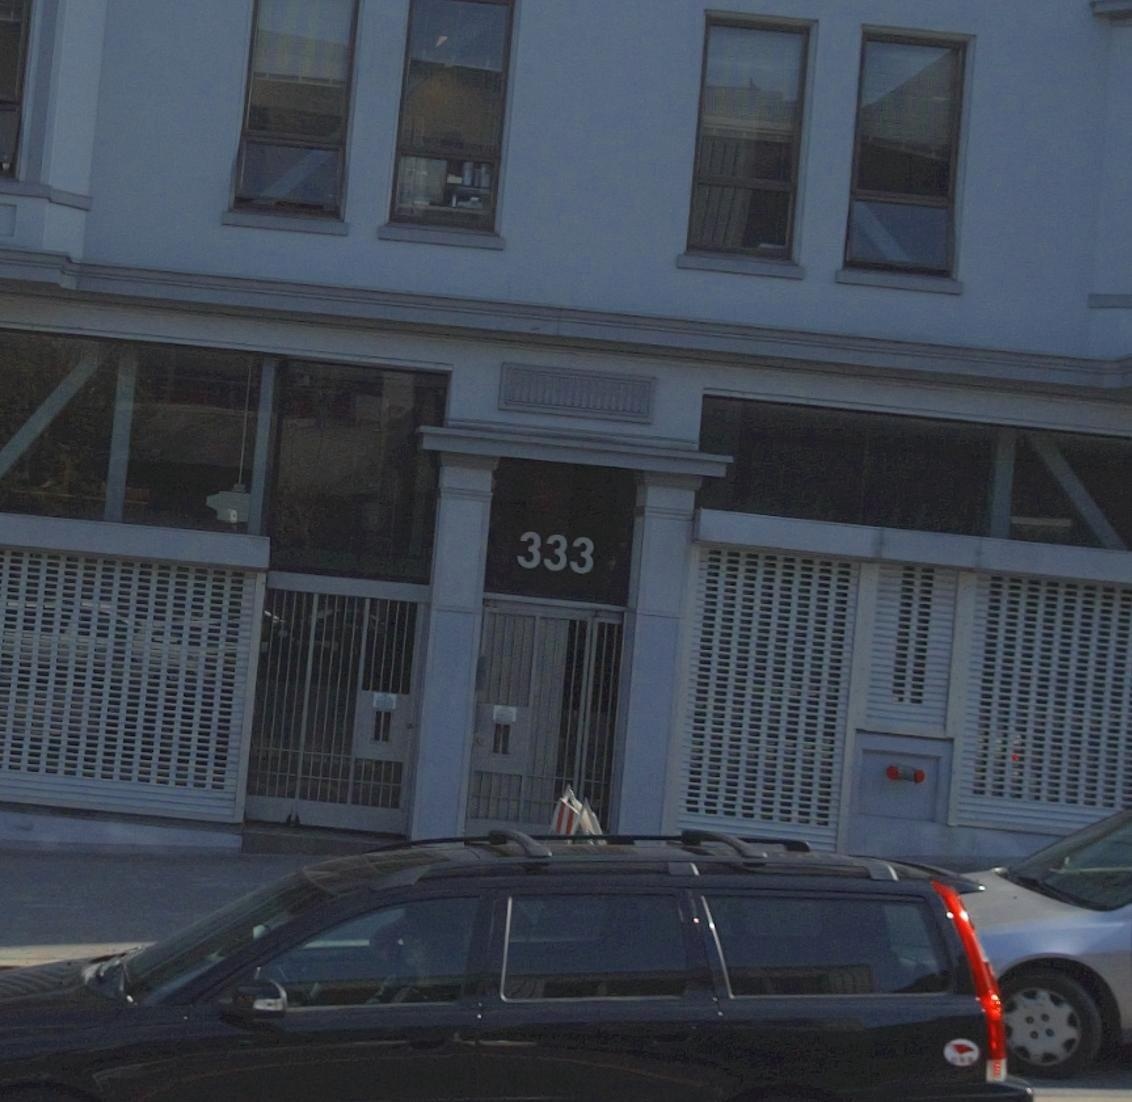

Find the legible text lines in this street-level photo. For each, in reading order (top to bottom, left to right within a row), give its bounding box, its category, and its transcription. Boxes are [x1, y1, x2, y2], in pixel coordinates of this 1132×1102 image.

[515, 529, 597, 577] StreetNumber: 333